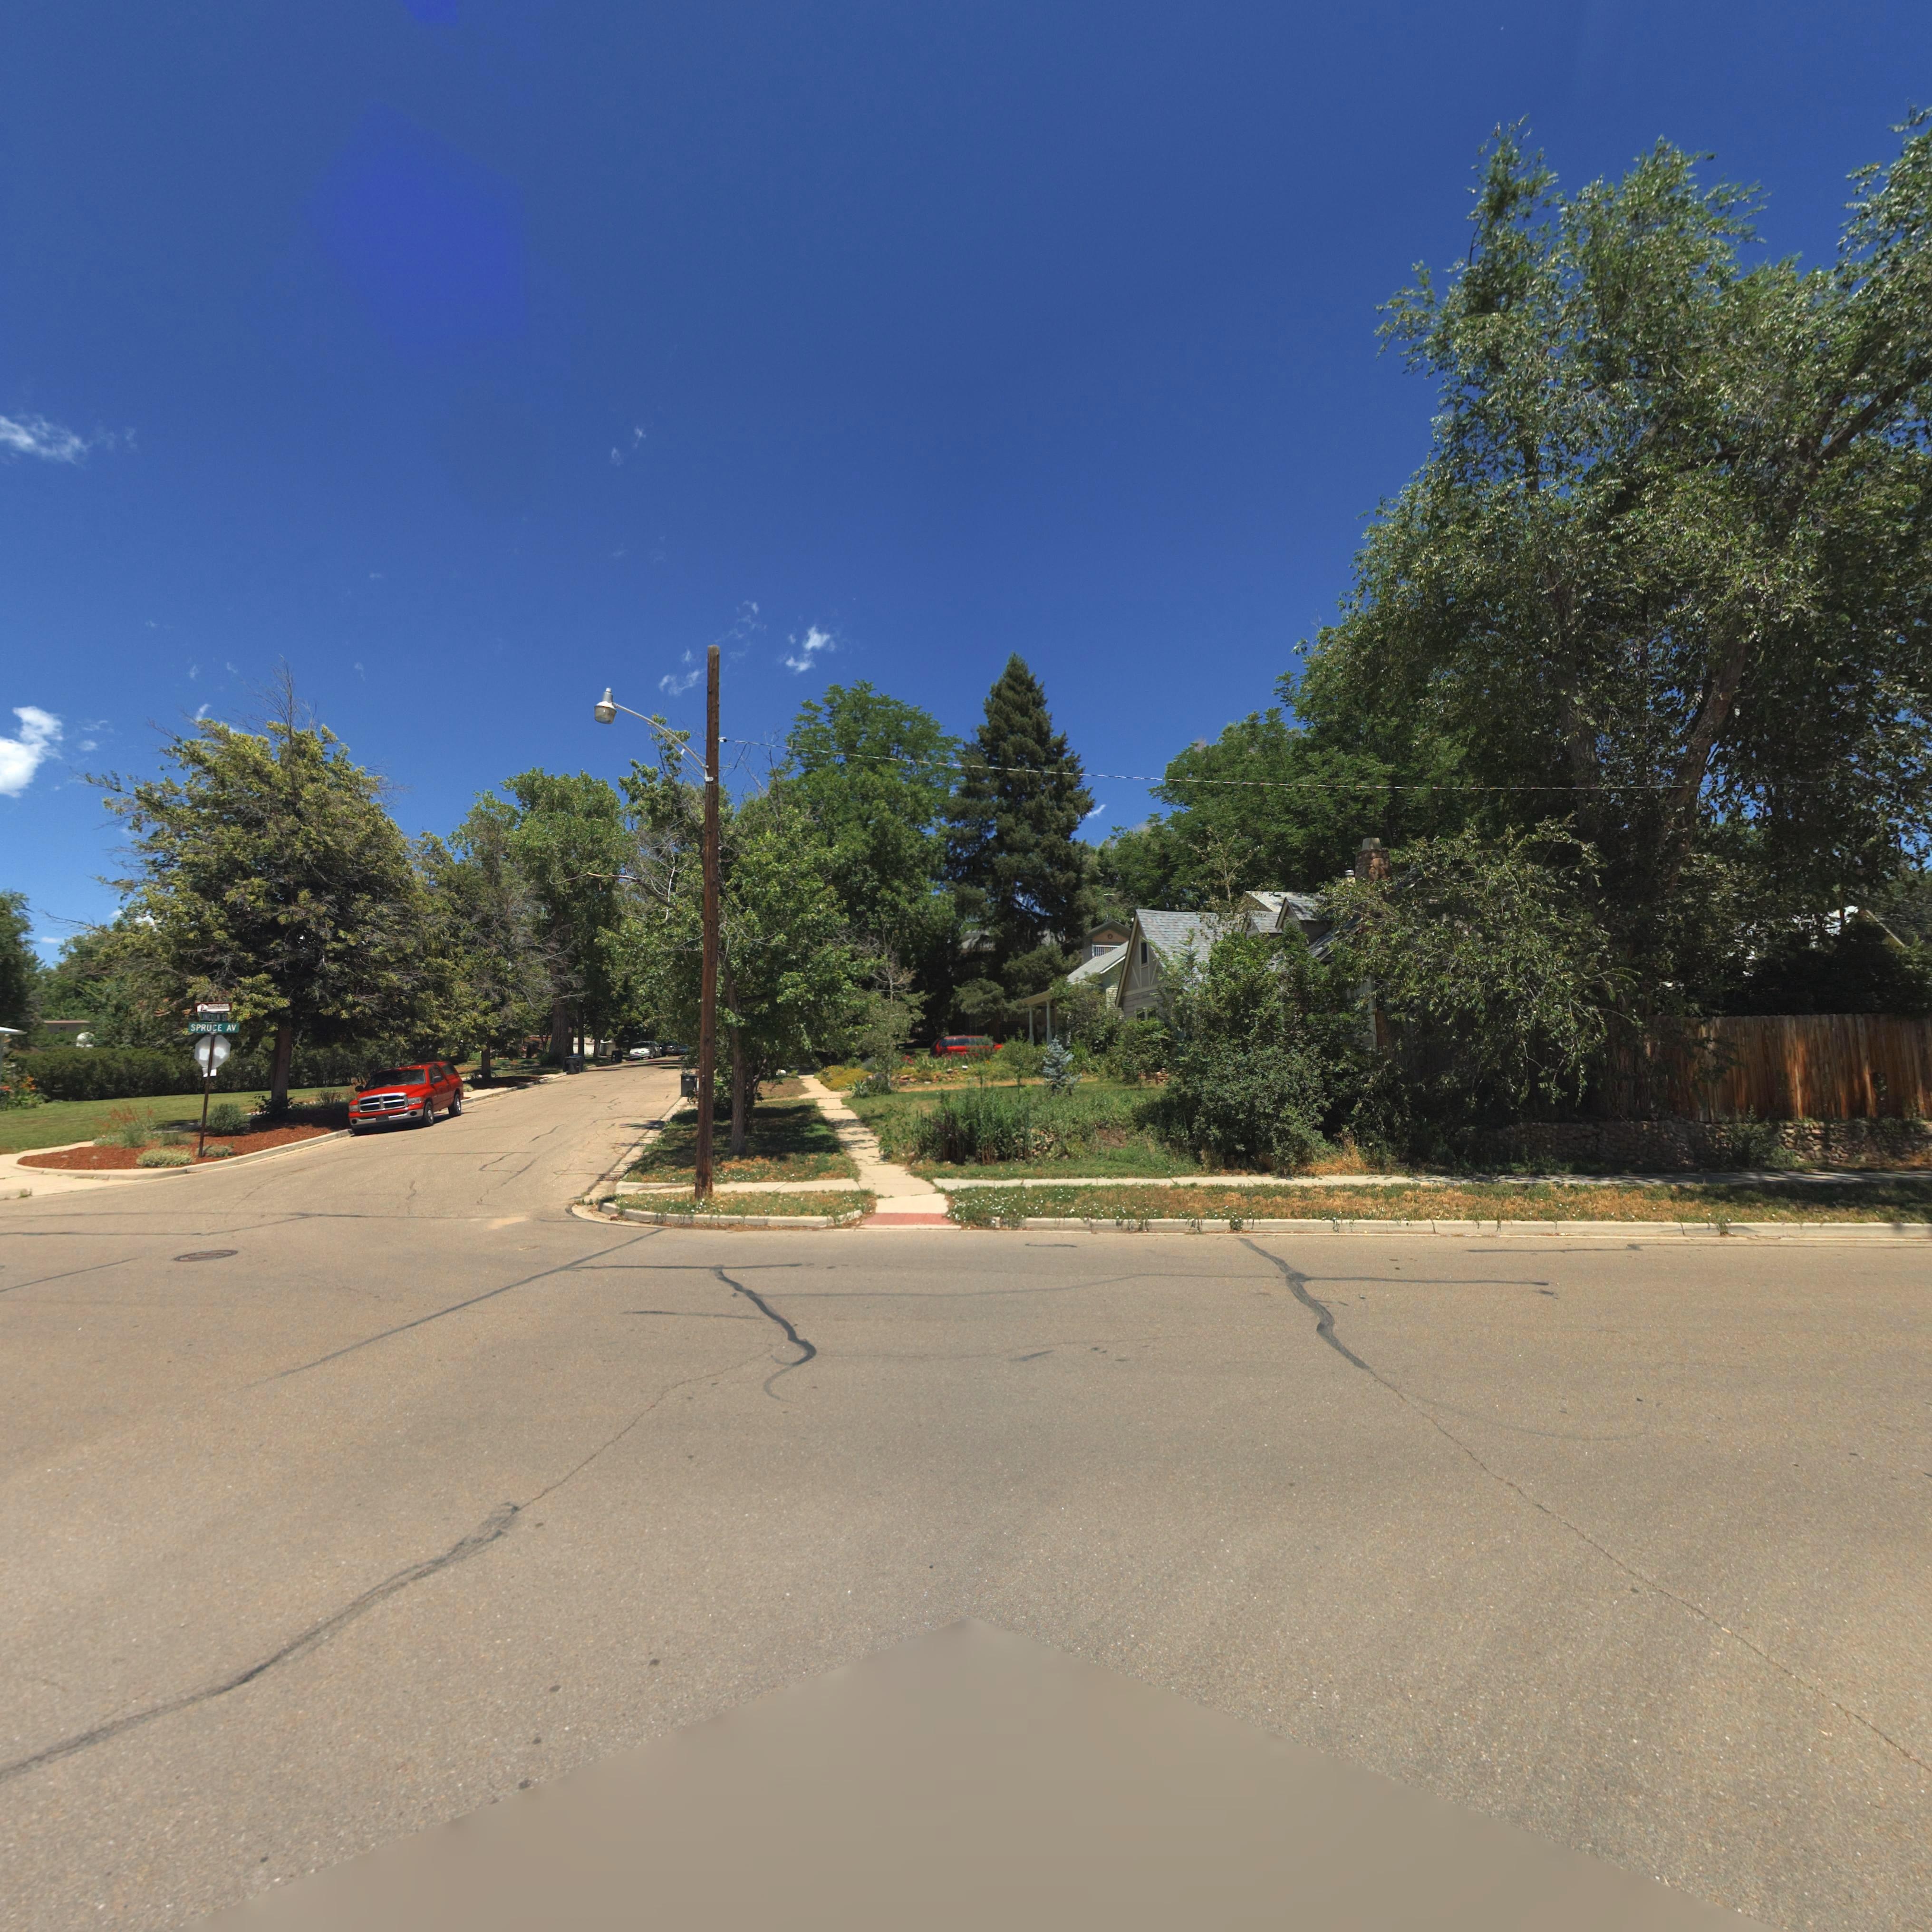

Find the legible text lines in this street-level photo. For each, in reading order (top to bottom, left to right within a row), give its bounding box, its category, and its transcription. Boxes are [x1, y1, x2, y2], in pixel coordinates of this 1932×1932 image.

[200, 1013, 227, 1021] StreetName: LINCOLN ST
[190, 1024, 238, 1032] StreetName: SPRUCE AV